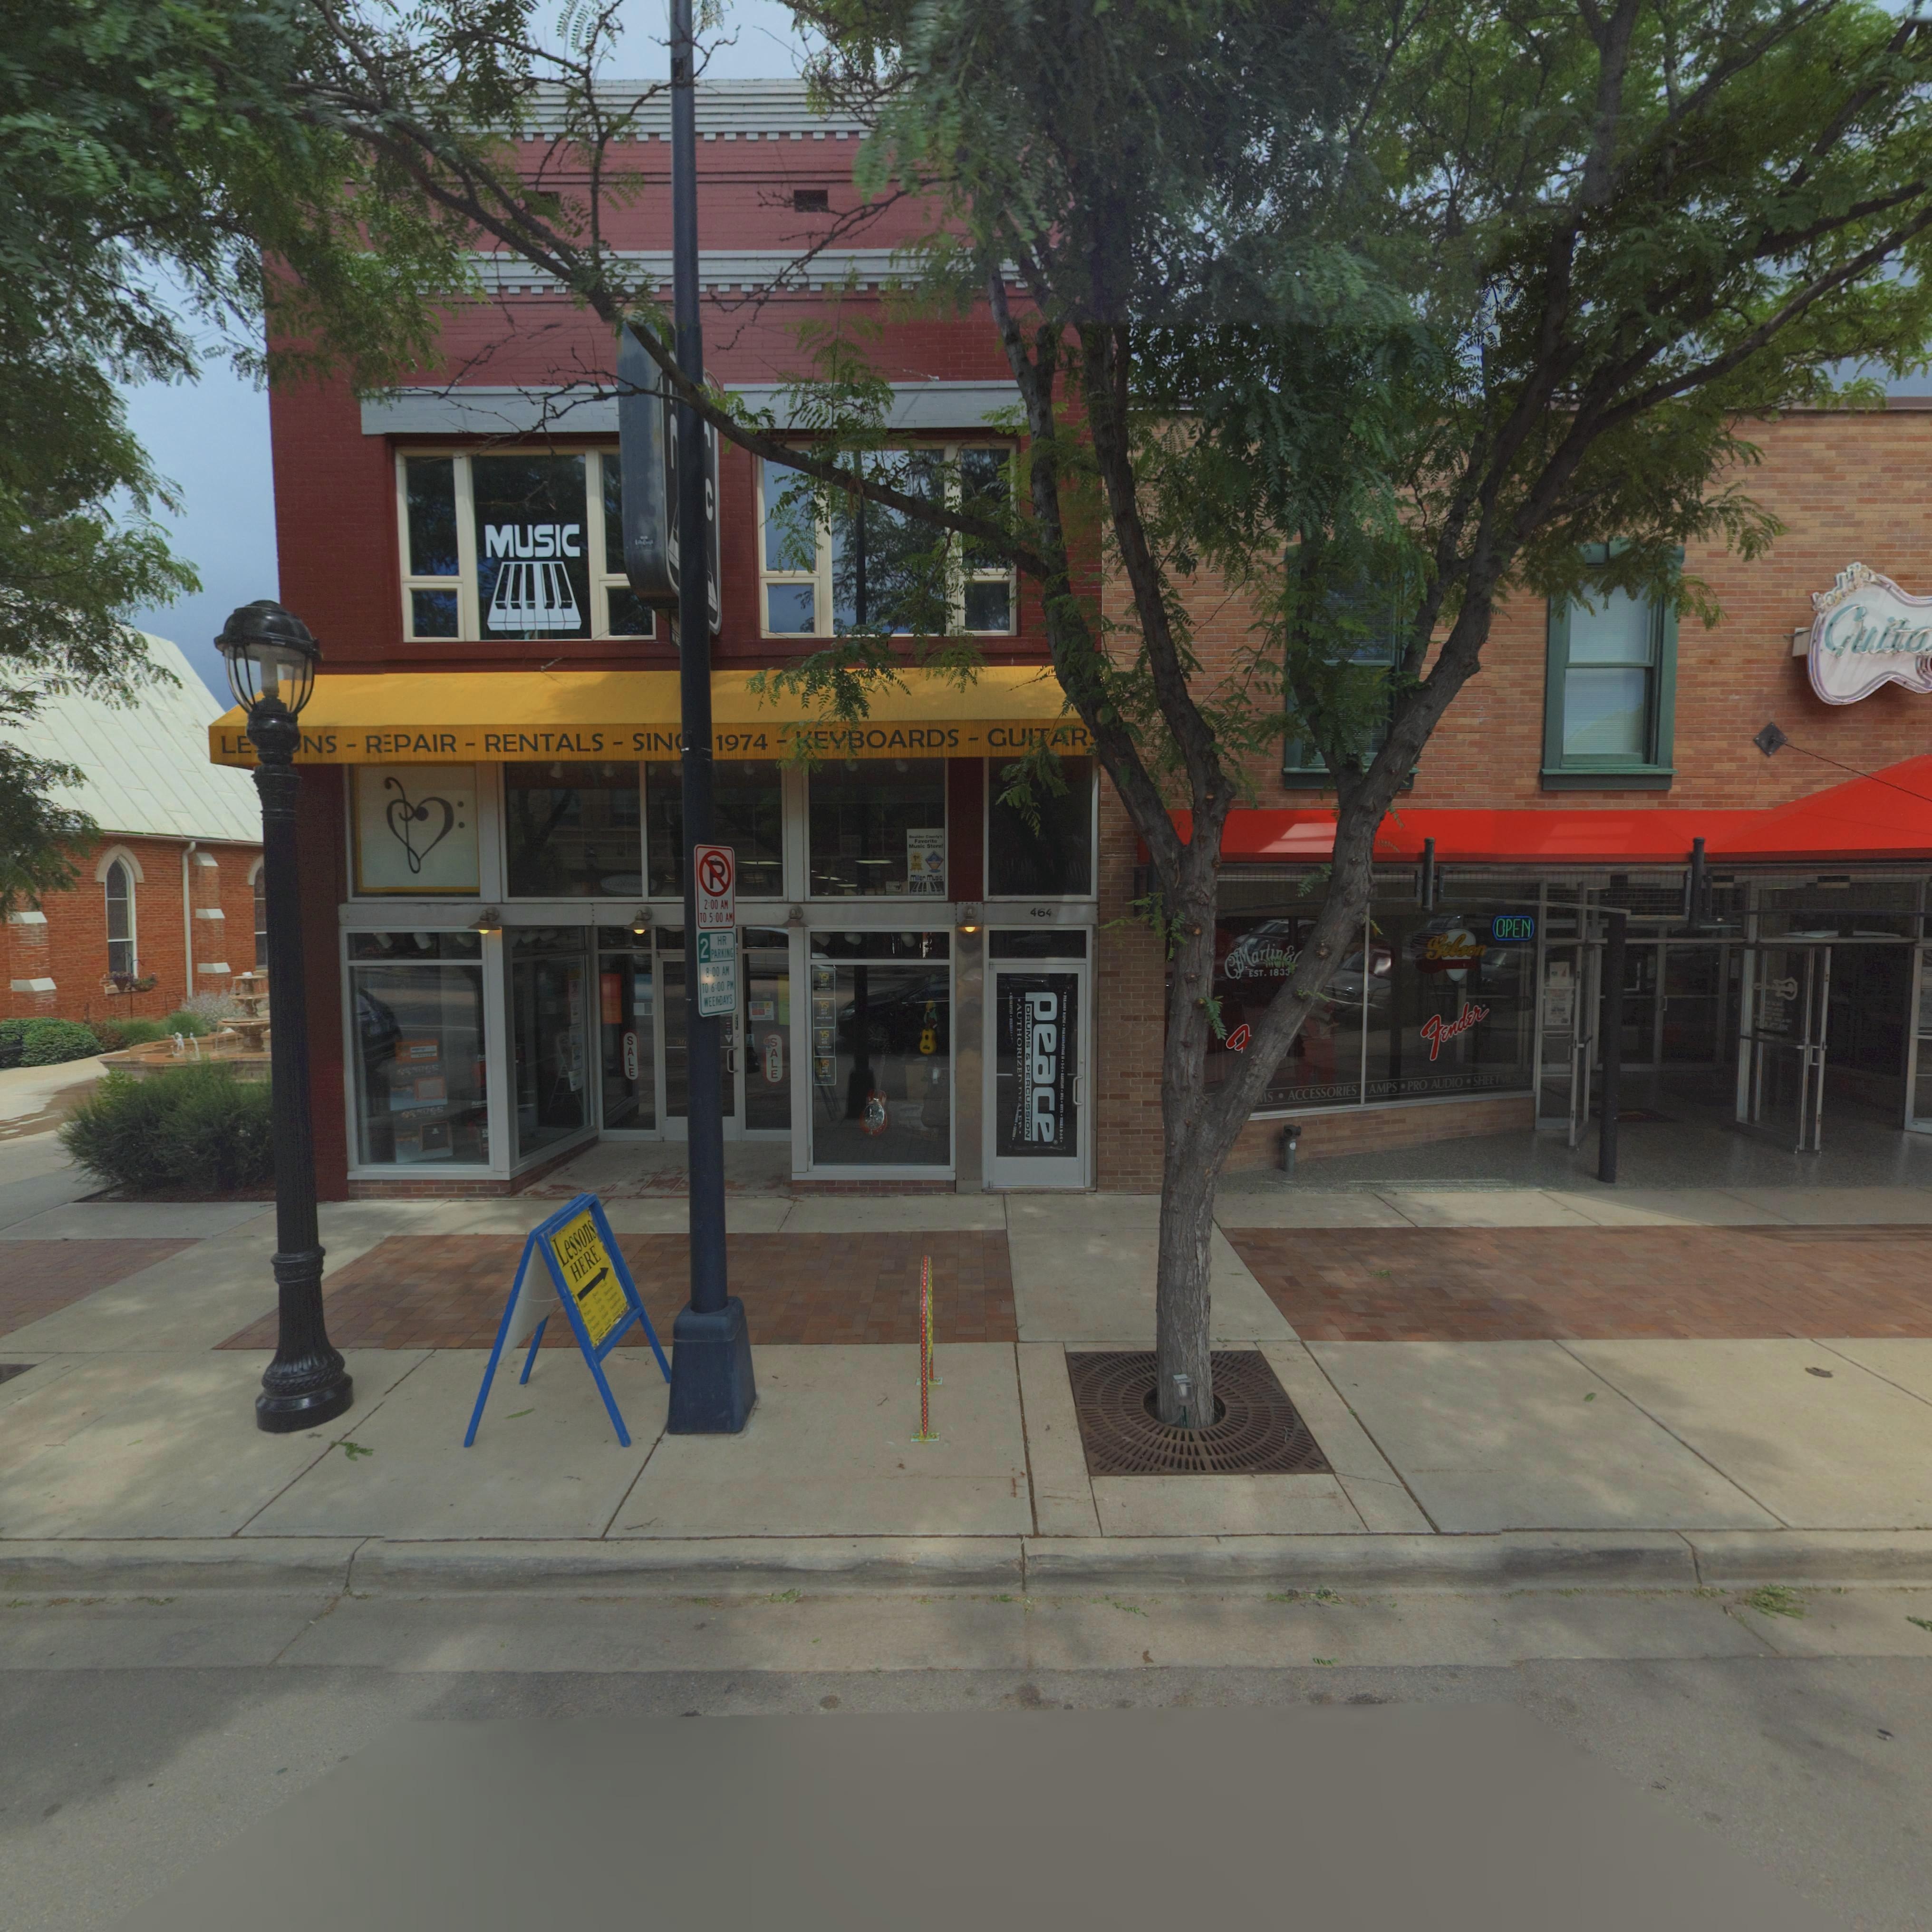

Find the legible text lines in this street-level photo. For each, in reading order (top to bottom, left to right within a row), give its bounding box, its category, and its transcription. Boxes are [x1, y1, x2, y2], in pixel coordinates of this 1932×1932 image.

[1814, 565, 1874, 614] BusinessName: todd's
[1823, 602, 1929, 659] BusinessName: Guita** ***
[909, 874, 943, 880] BusinessName: M***er Mus*c
[1030, 907, 1052, 918] StreetNumber: 46*
[675, 1037, 697, 1046] BusinessName: Mi**** *****